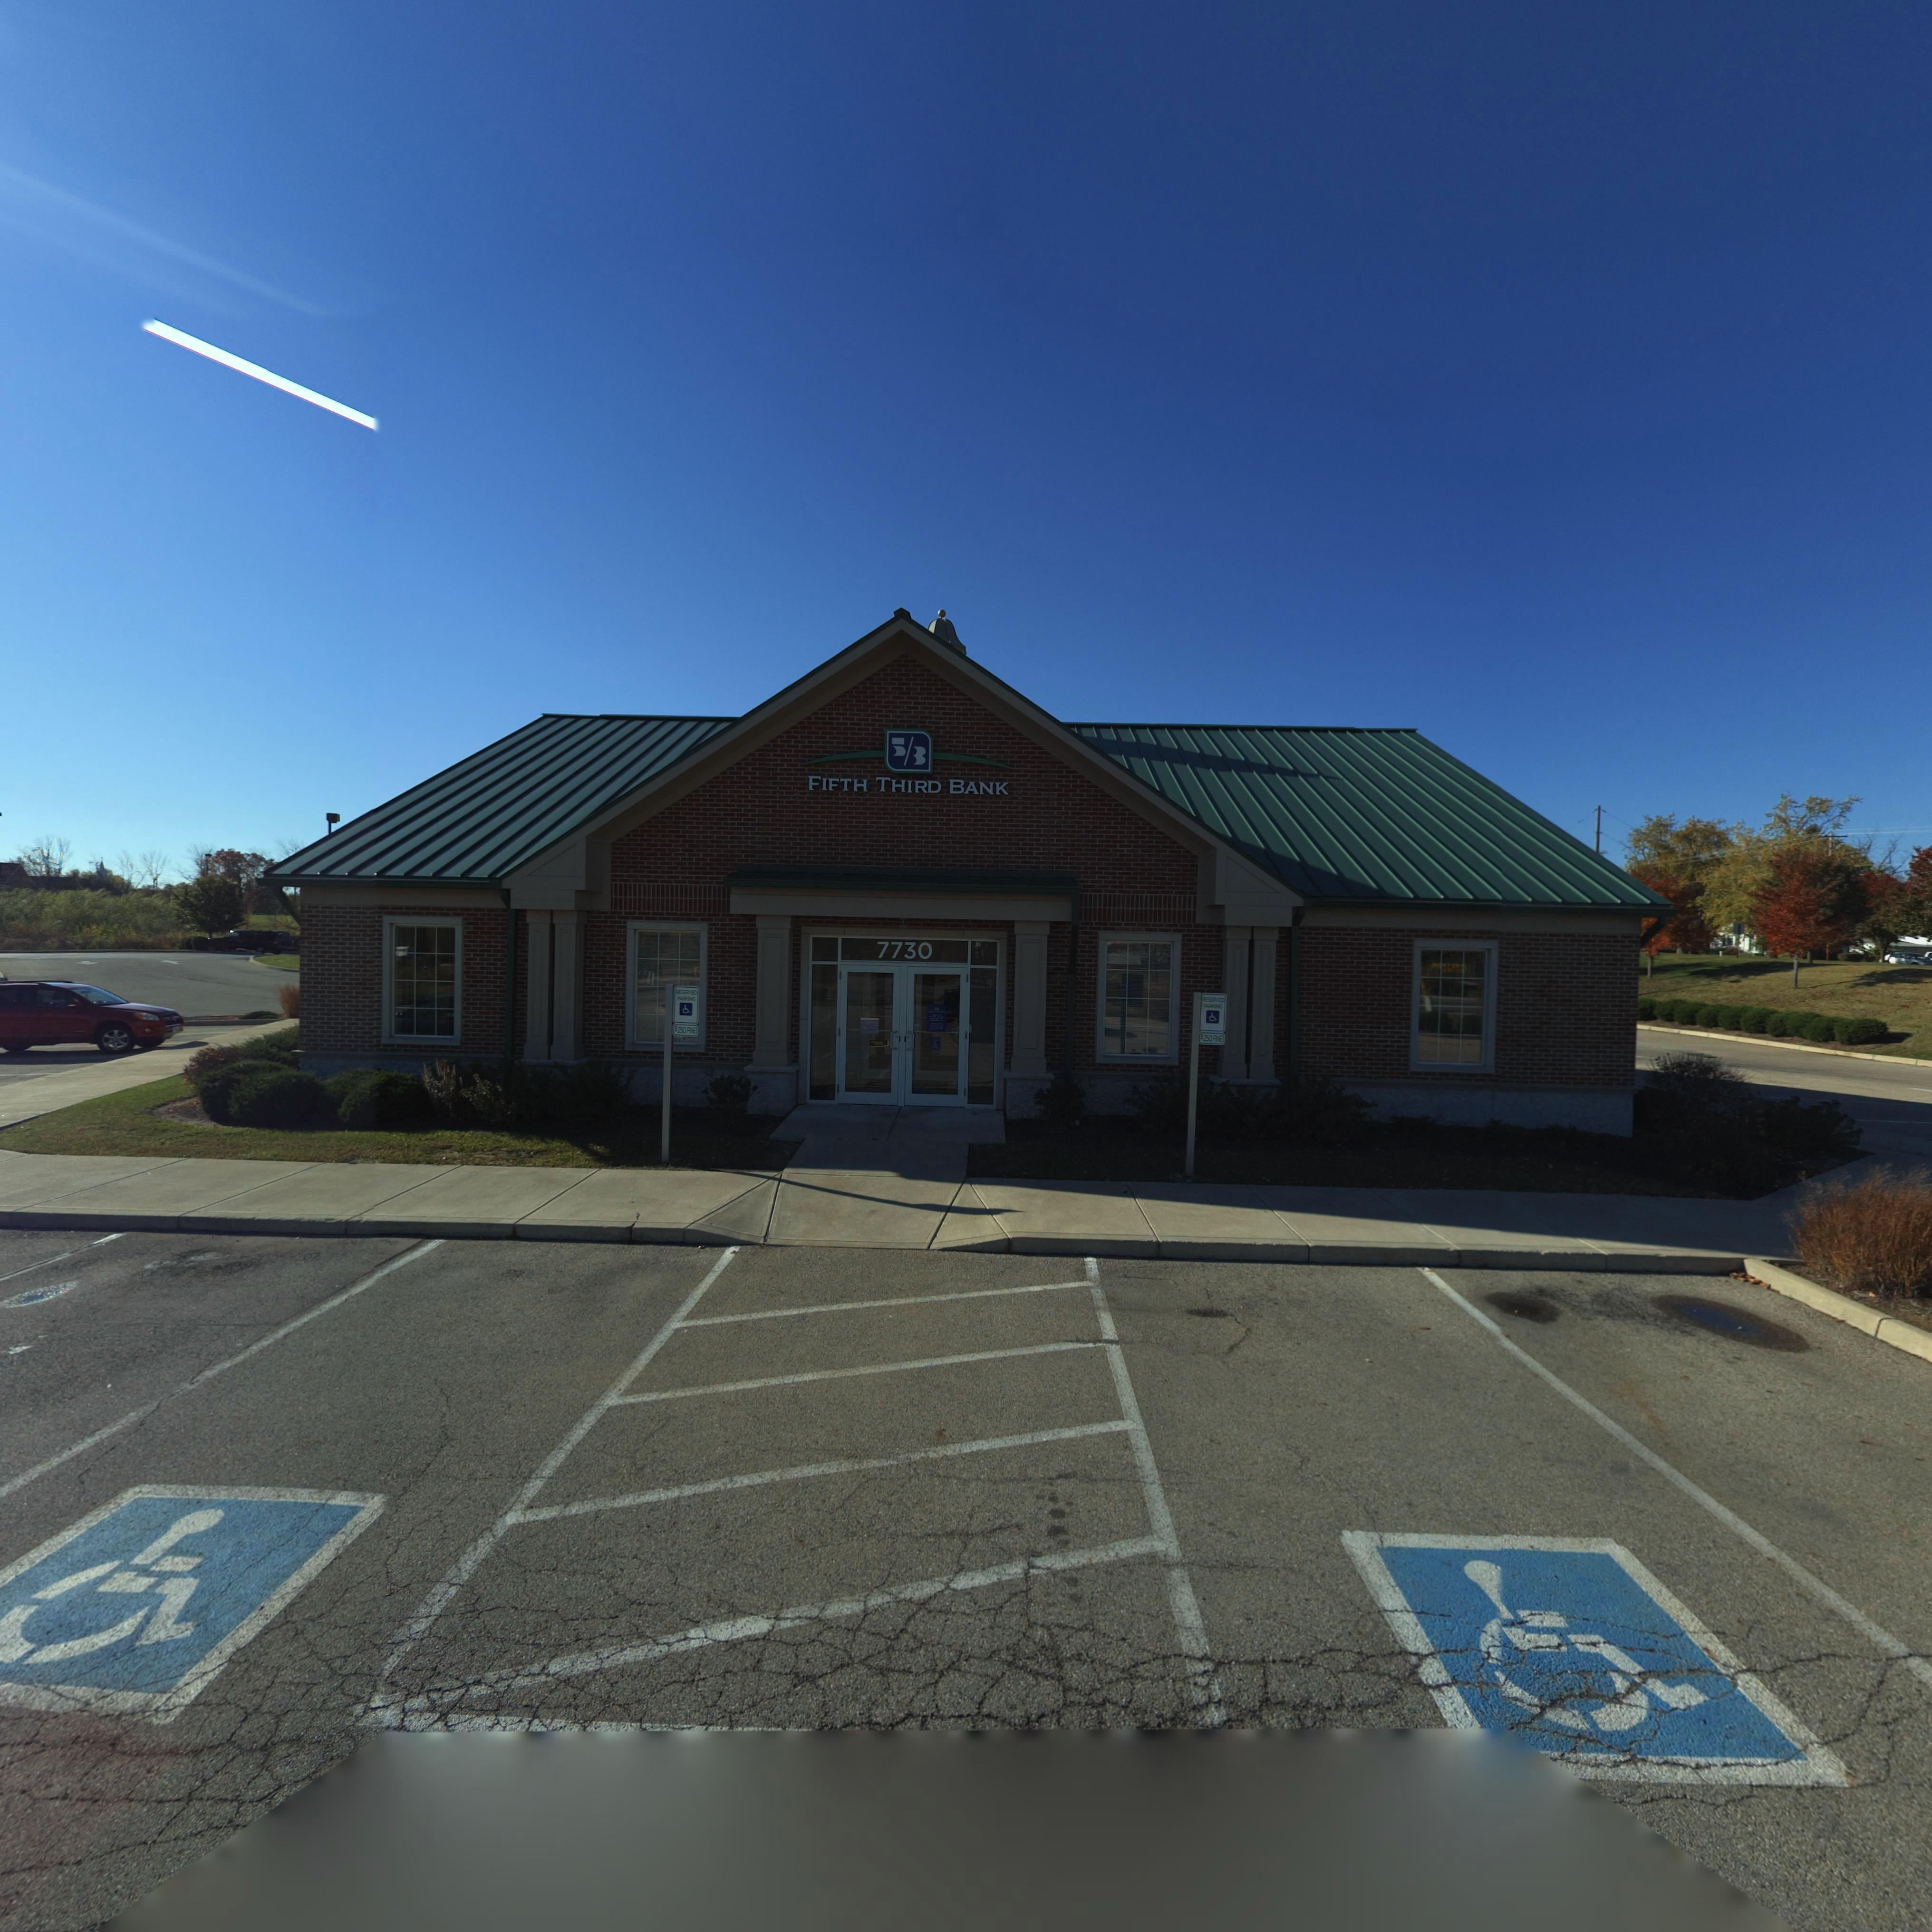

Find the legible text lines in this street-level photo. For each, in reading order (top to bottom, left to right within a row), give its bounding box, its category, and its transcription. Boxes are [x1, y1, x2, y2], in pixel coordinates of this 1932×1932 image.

[806, 774, 1010, 796] BusinessName: FIFTH THIRD BANK
[876, 940, 934, 961] StreetNumber: 7730